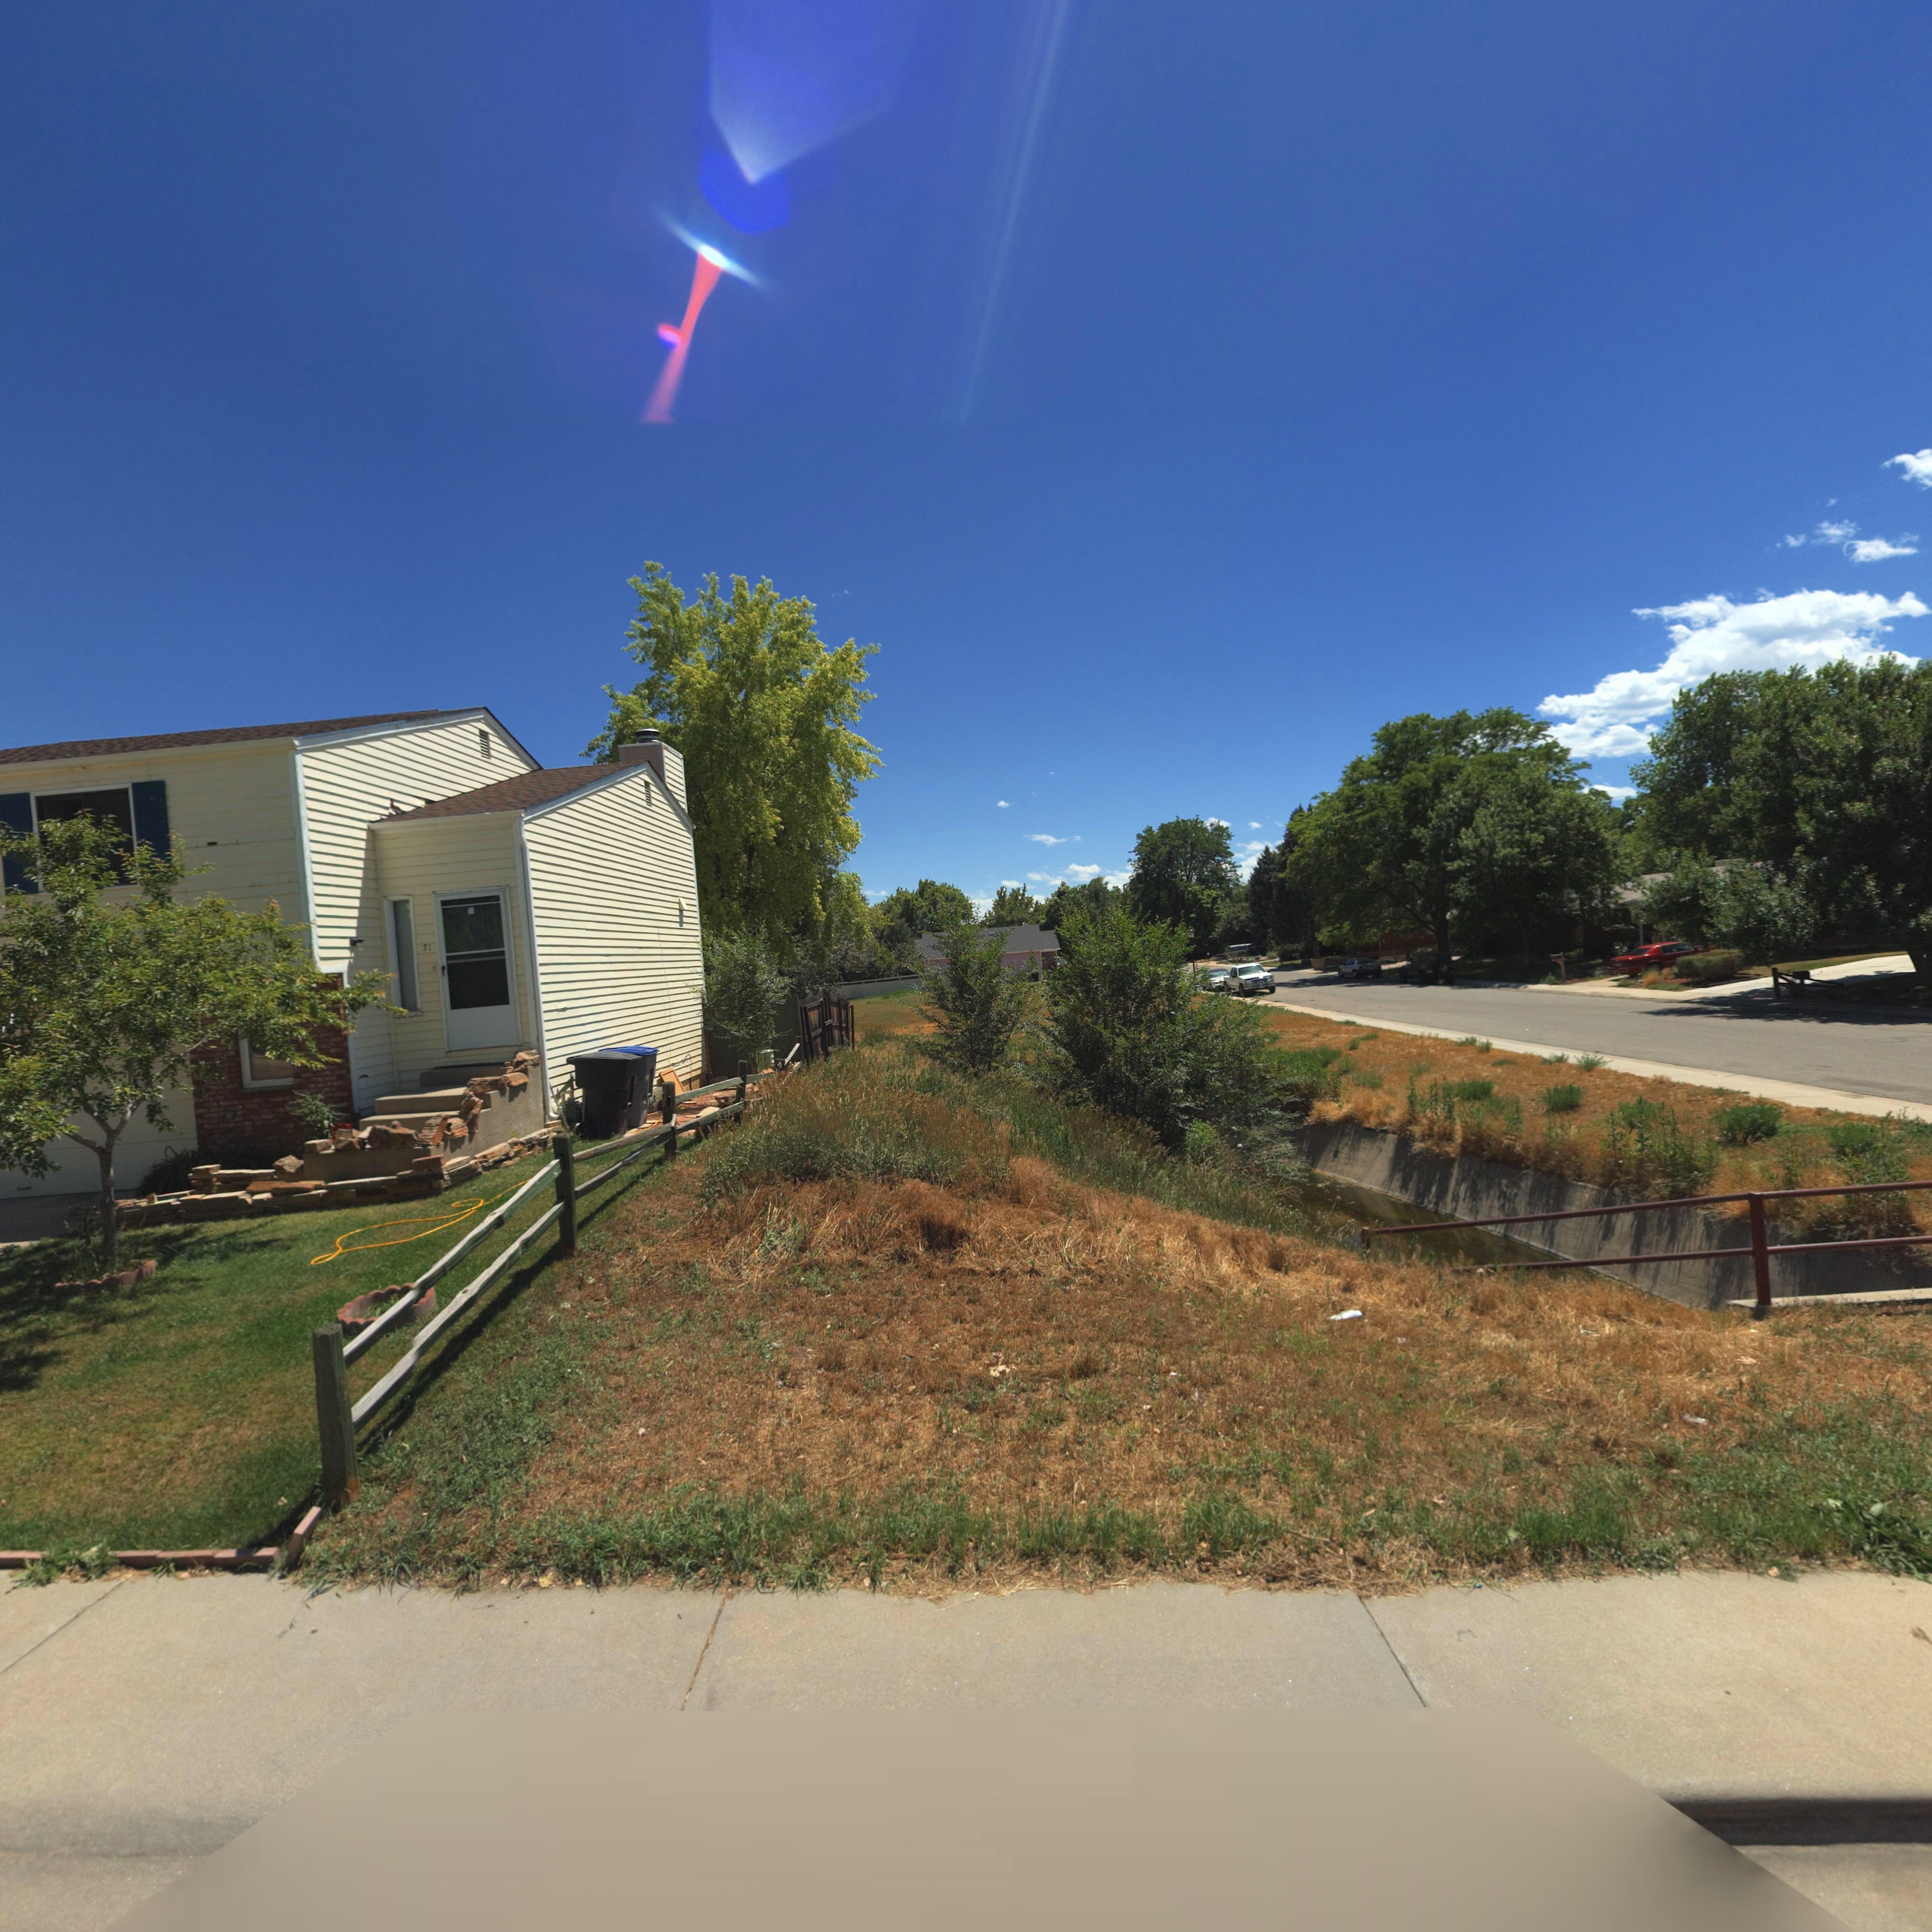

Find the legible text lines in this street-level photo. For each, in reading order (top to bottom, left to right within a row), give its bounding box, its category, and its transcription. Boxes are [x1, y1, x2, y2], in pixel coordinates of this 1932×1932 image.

[421, 943, 432, 951] StreetNumber: 51